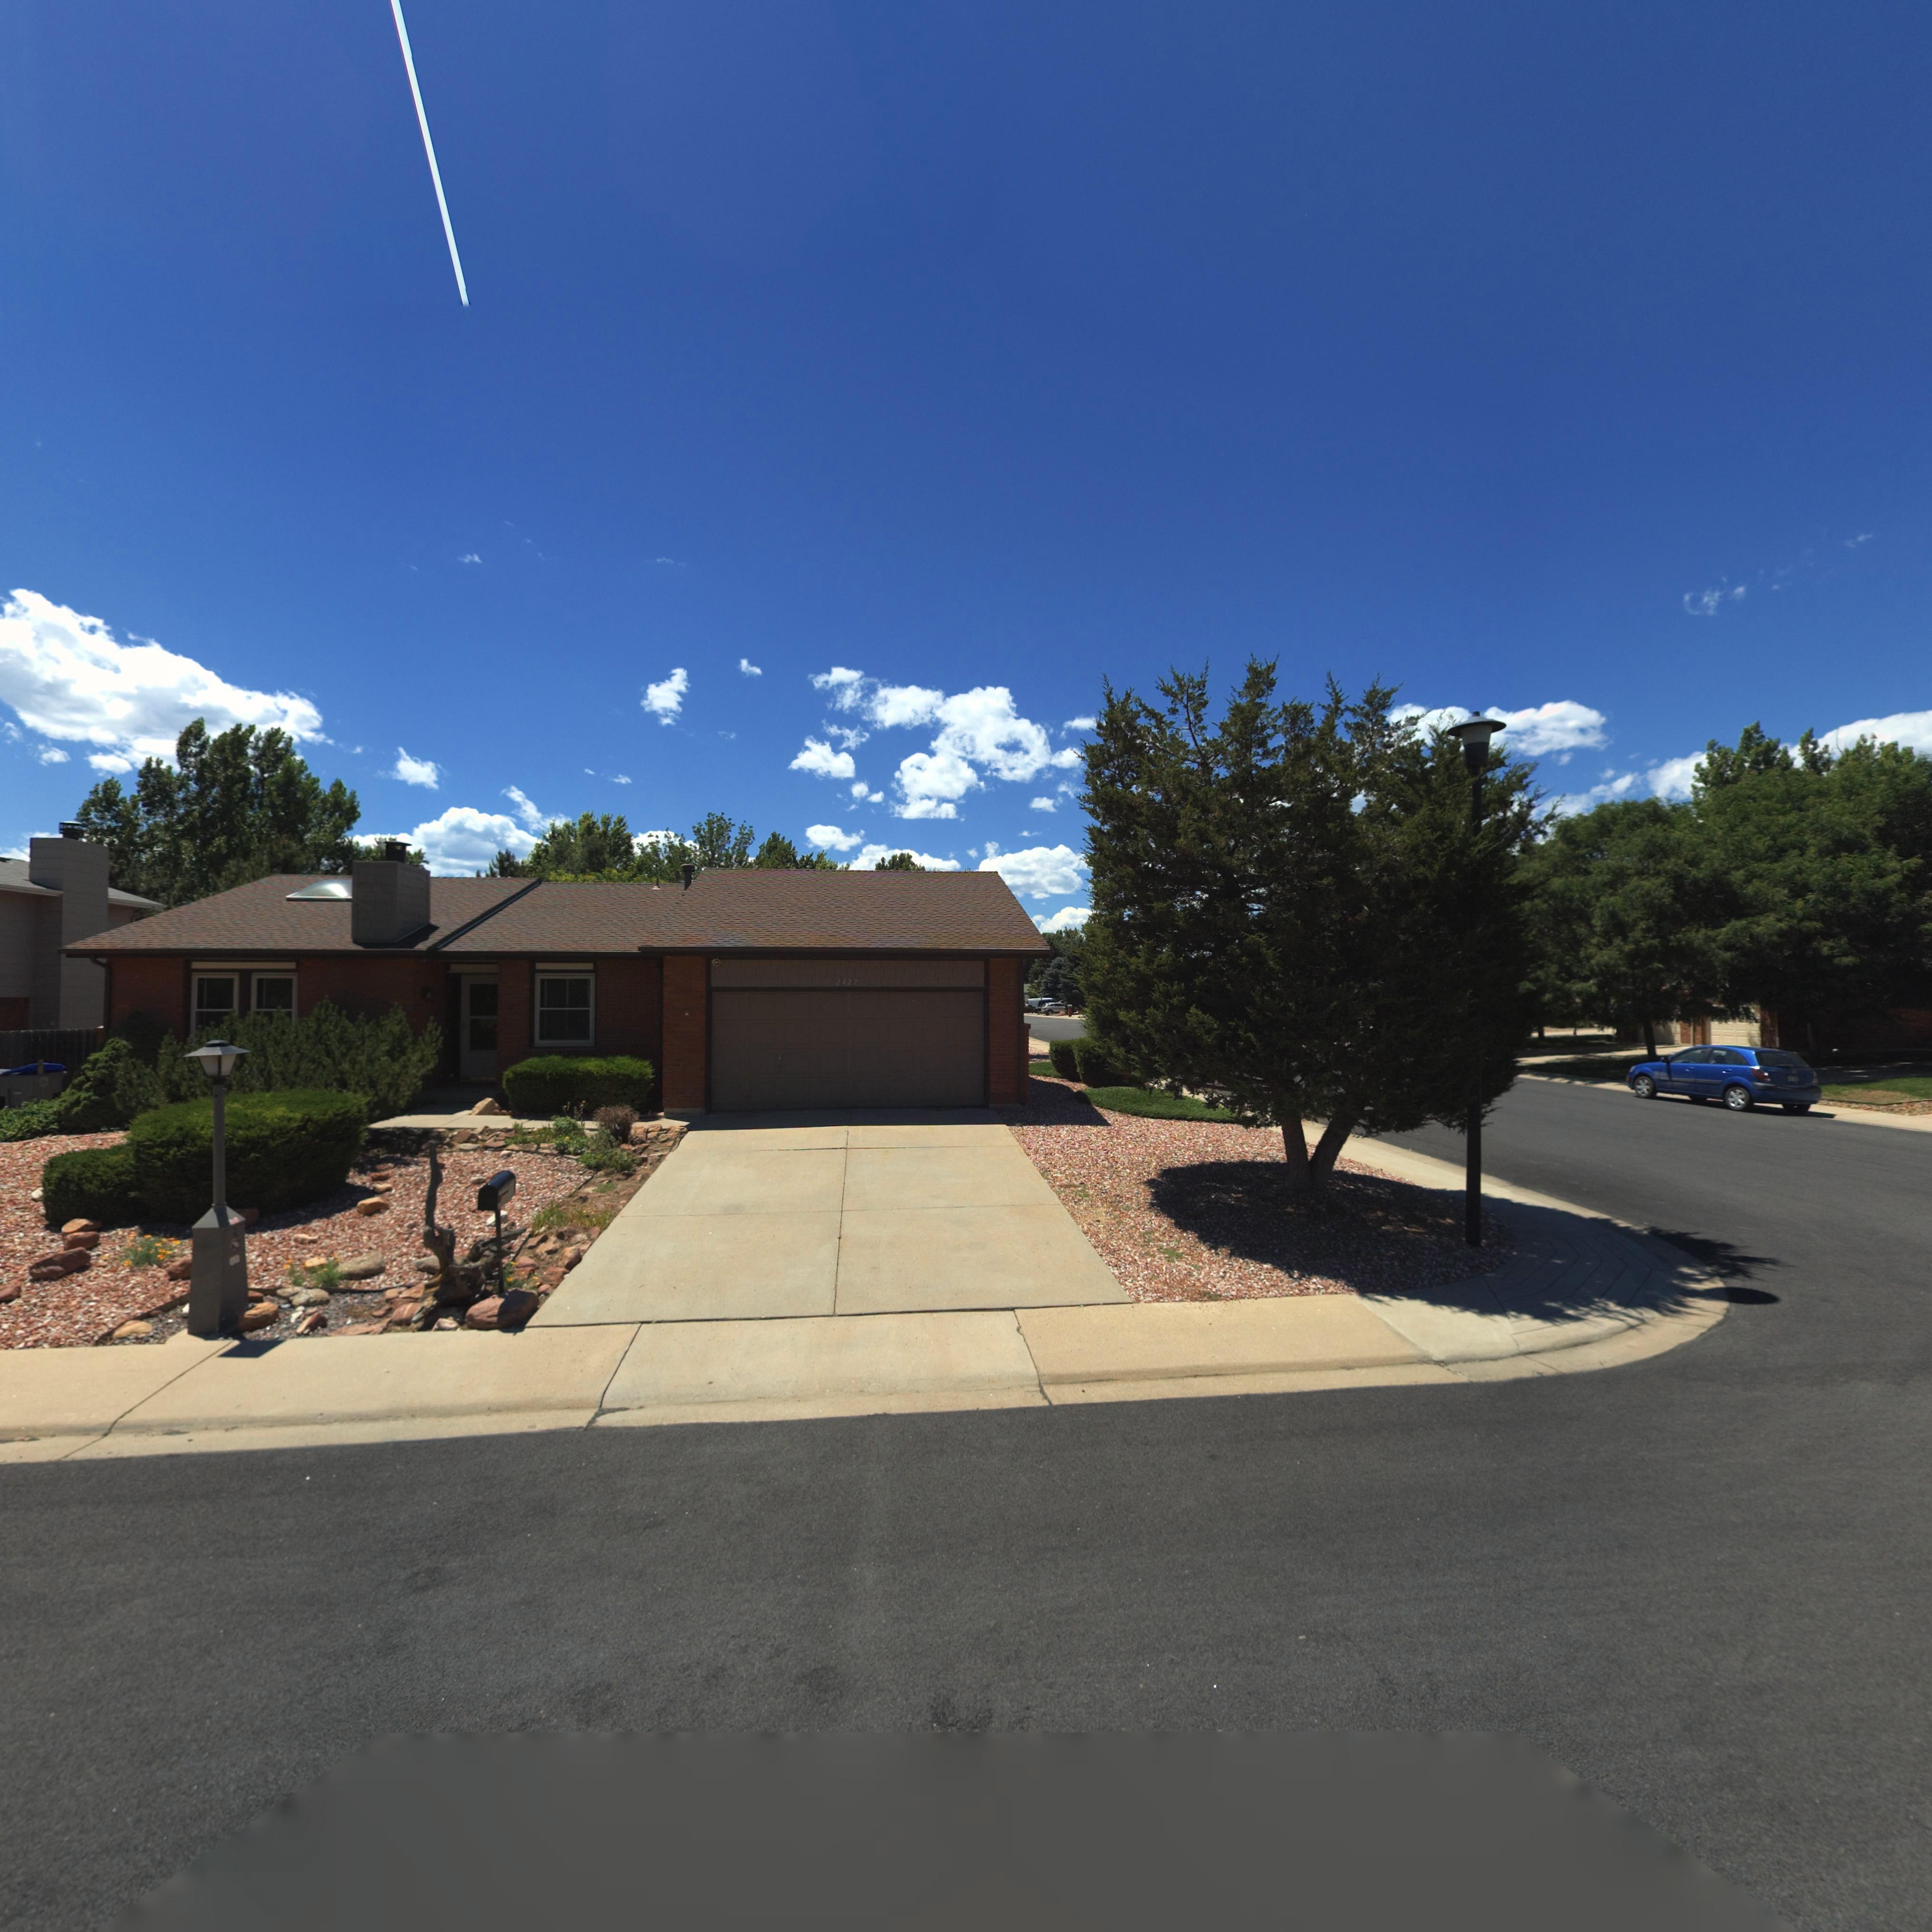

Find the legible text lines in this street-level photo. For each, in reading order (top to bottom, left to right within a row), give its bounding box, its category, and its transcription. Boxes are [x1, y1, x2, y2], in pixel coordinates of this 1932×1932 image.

[835, 978, 858, 985] StreetNumber: 2427